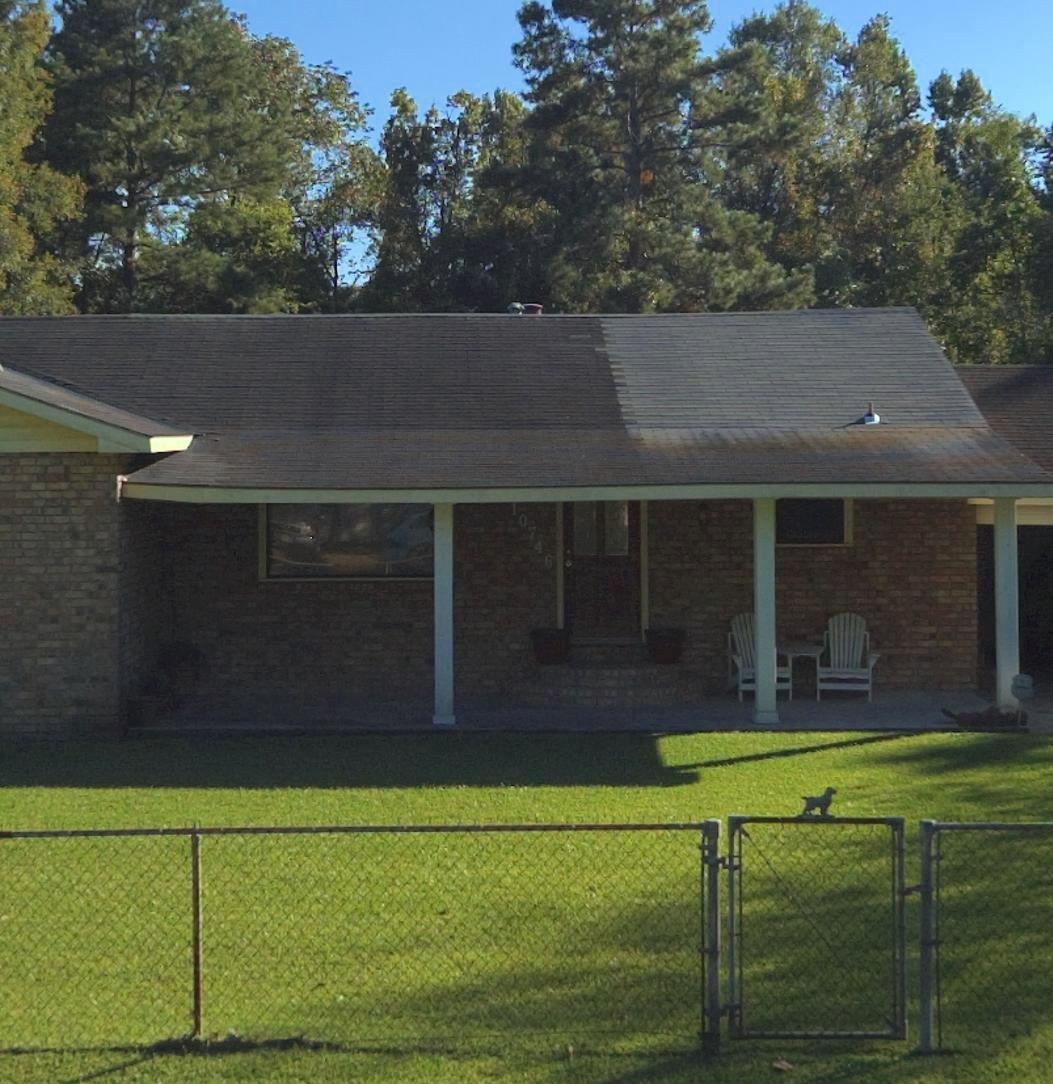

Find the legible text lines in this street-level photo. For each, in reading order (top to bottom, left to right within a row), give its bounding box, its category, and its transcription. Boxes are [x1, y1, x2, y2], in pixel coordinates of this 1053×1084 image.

[510, 502, 554, 569] StreetNumber: 10746